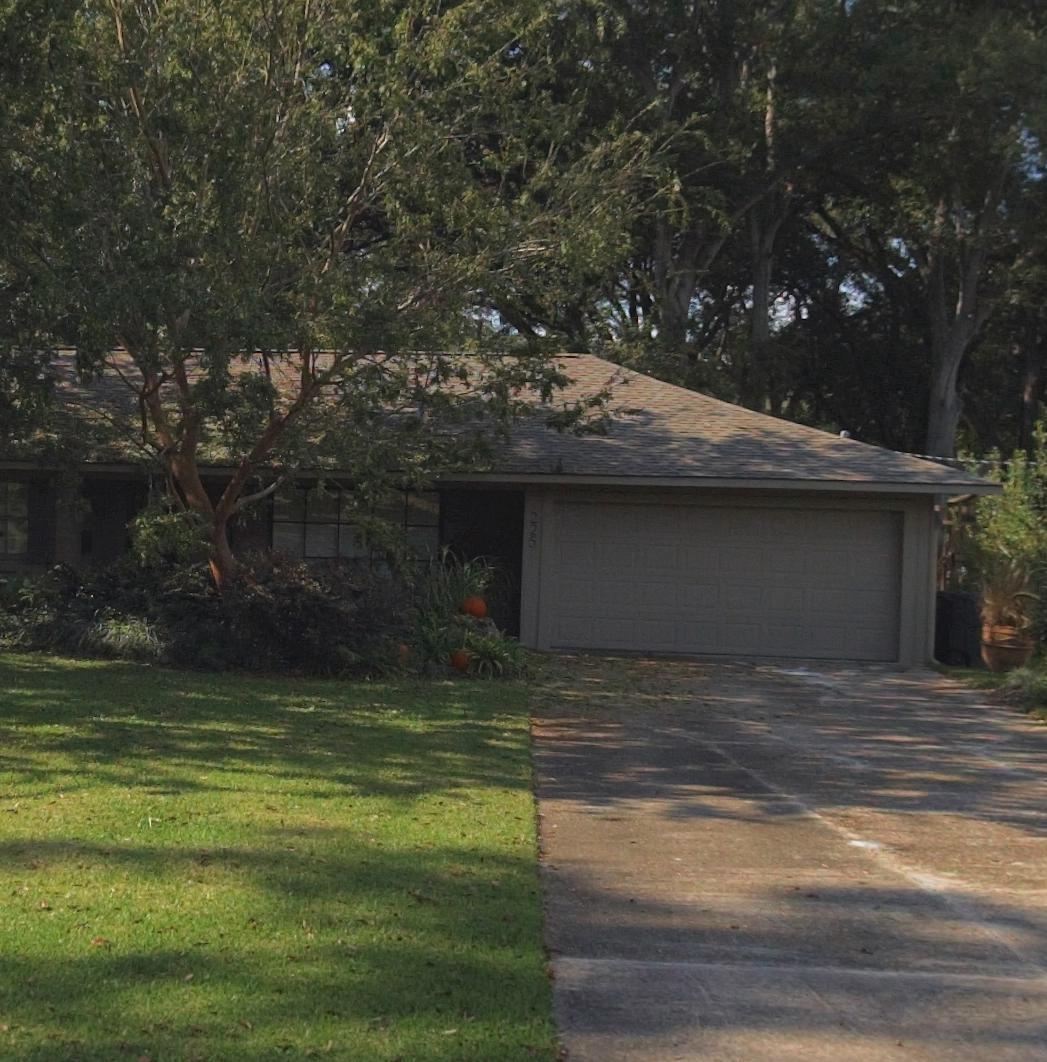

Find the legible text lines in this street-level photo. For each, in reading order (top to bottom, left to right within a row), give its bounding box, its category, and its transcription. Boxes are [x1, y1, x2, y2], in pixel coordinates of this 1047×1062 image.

[529, 511, 538, 549] StreetNumber: 225